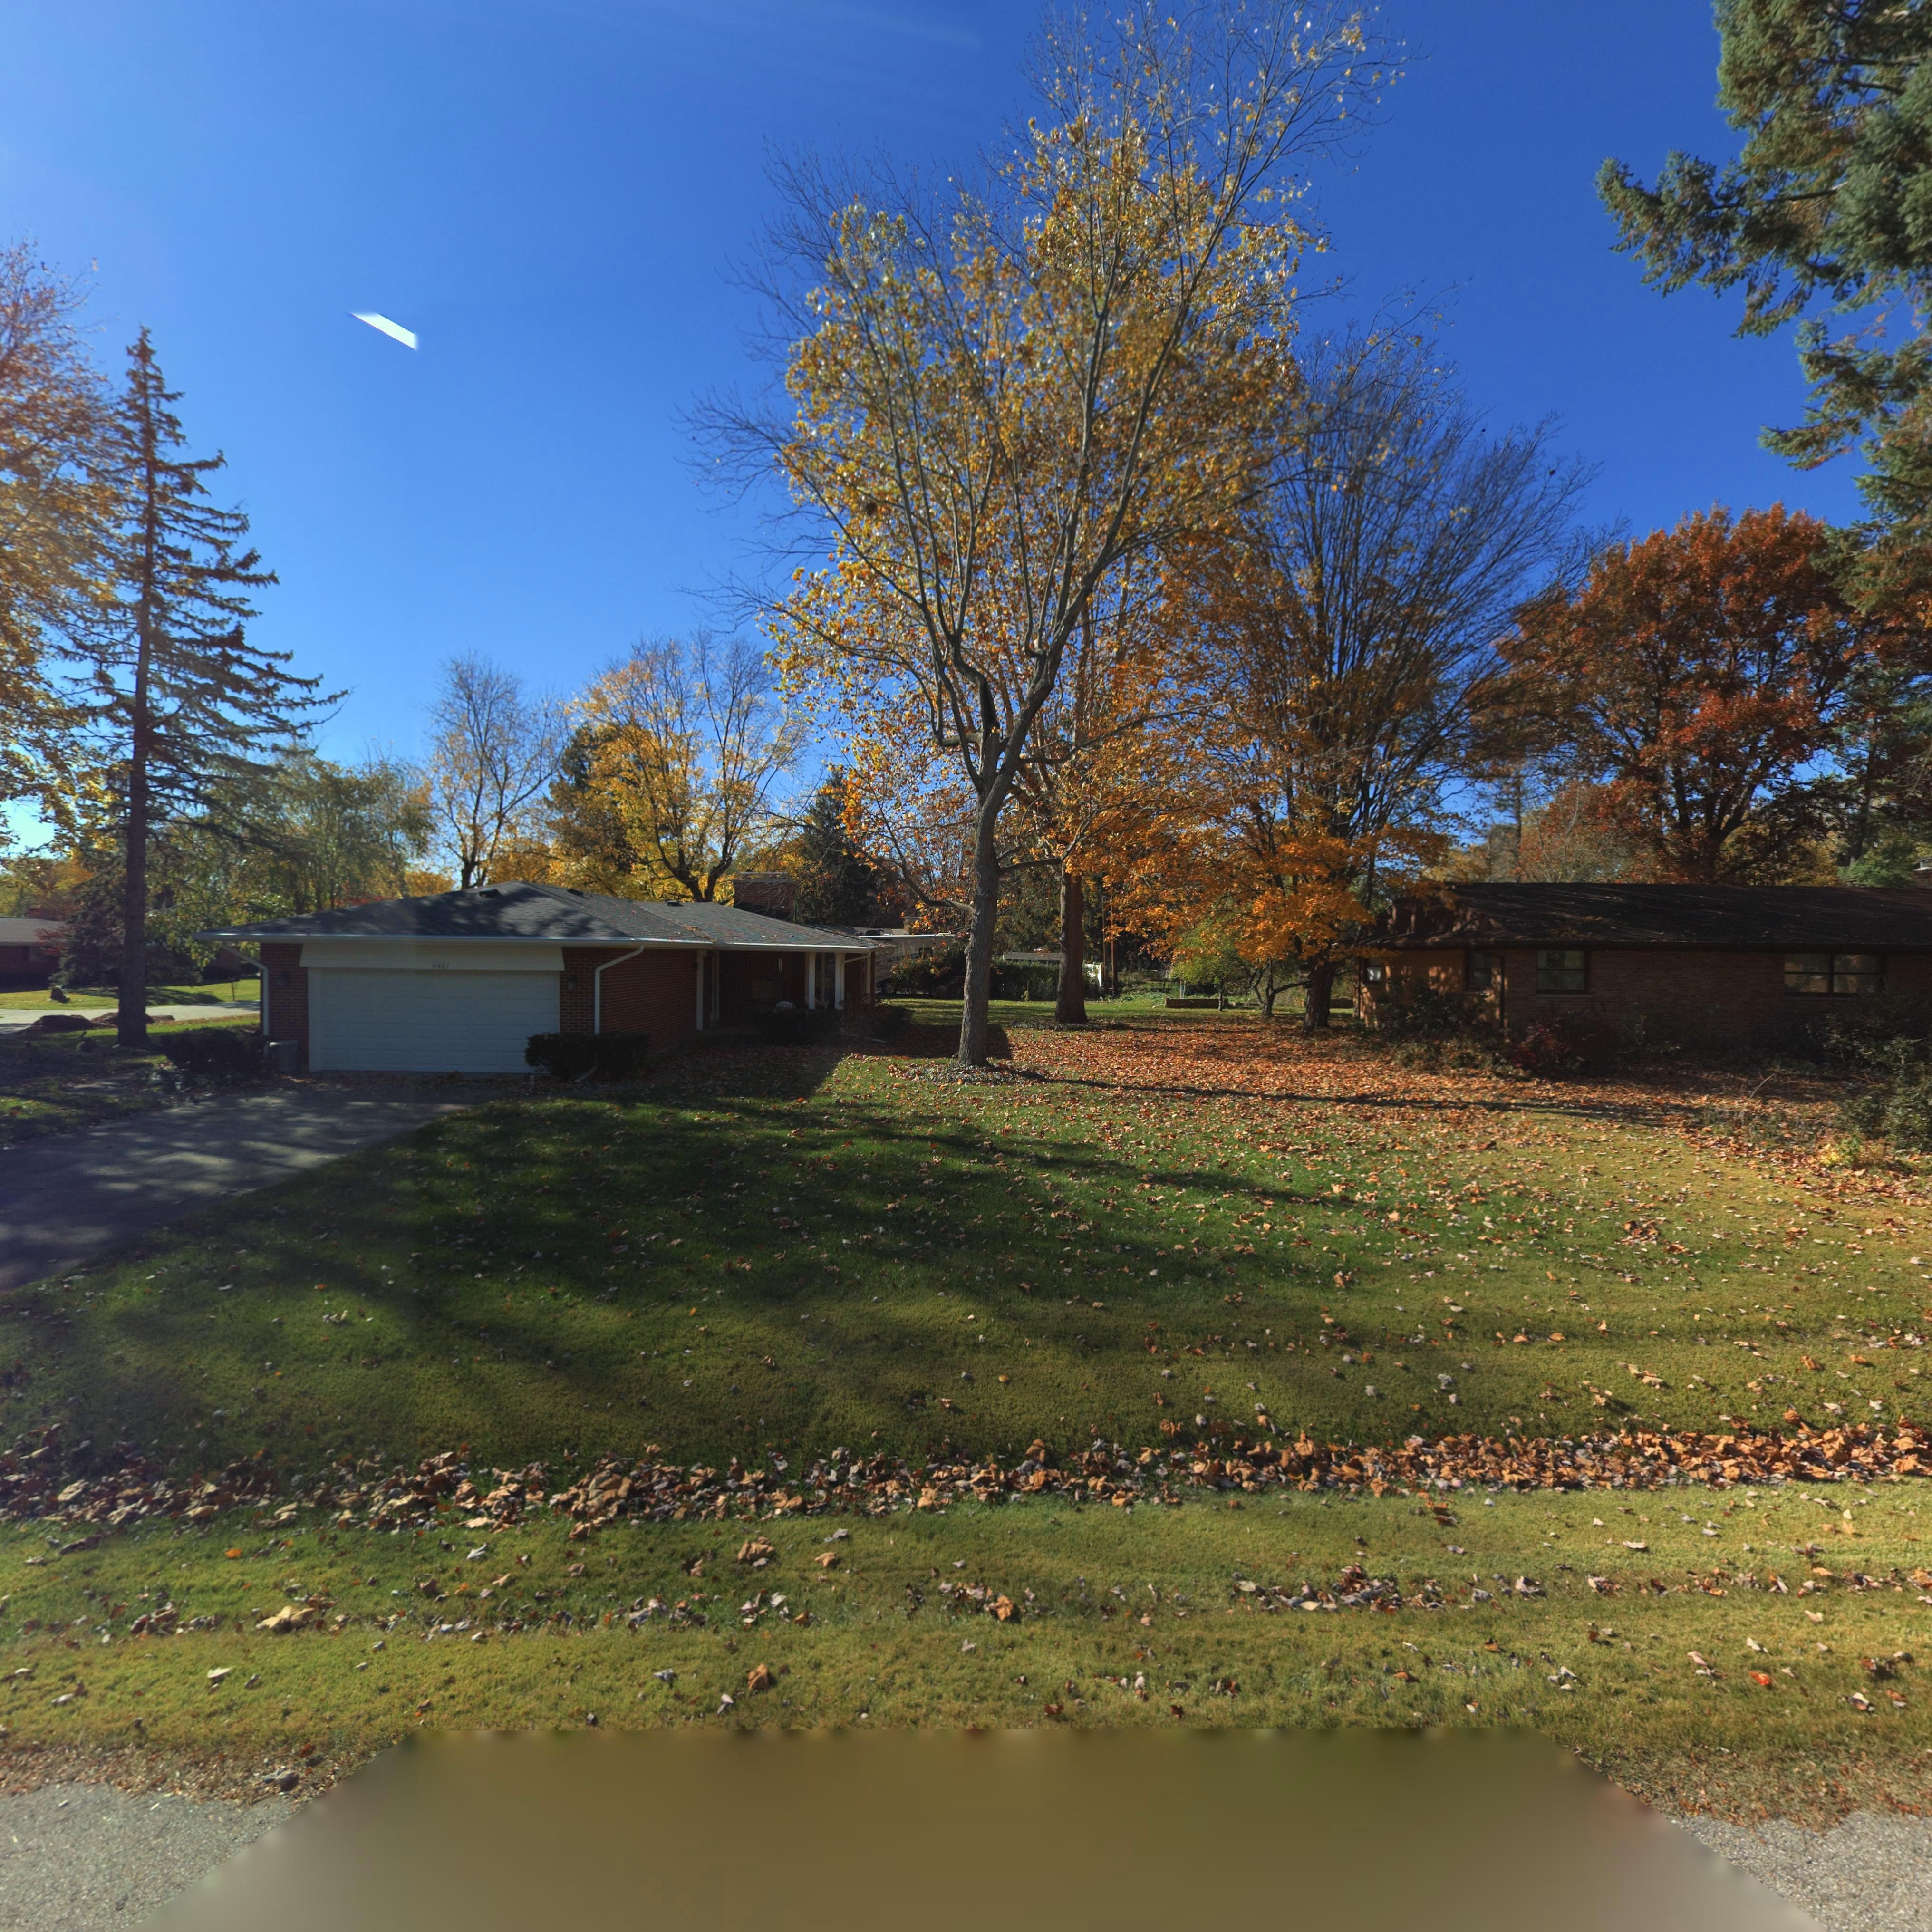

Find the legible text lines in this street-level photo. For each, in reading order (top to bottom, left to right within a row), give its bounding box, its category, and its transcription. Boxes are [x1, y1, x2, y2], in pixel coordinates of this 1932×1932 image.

[432, 962, 450, 970] StreetNumber: 6421